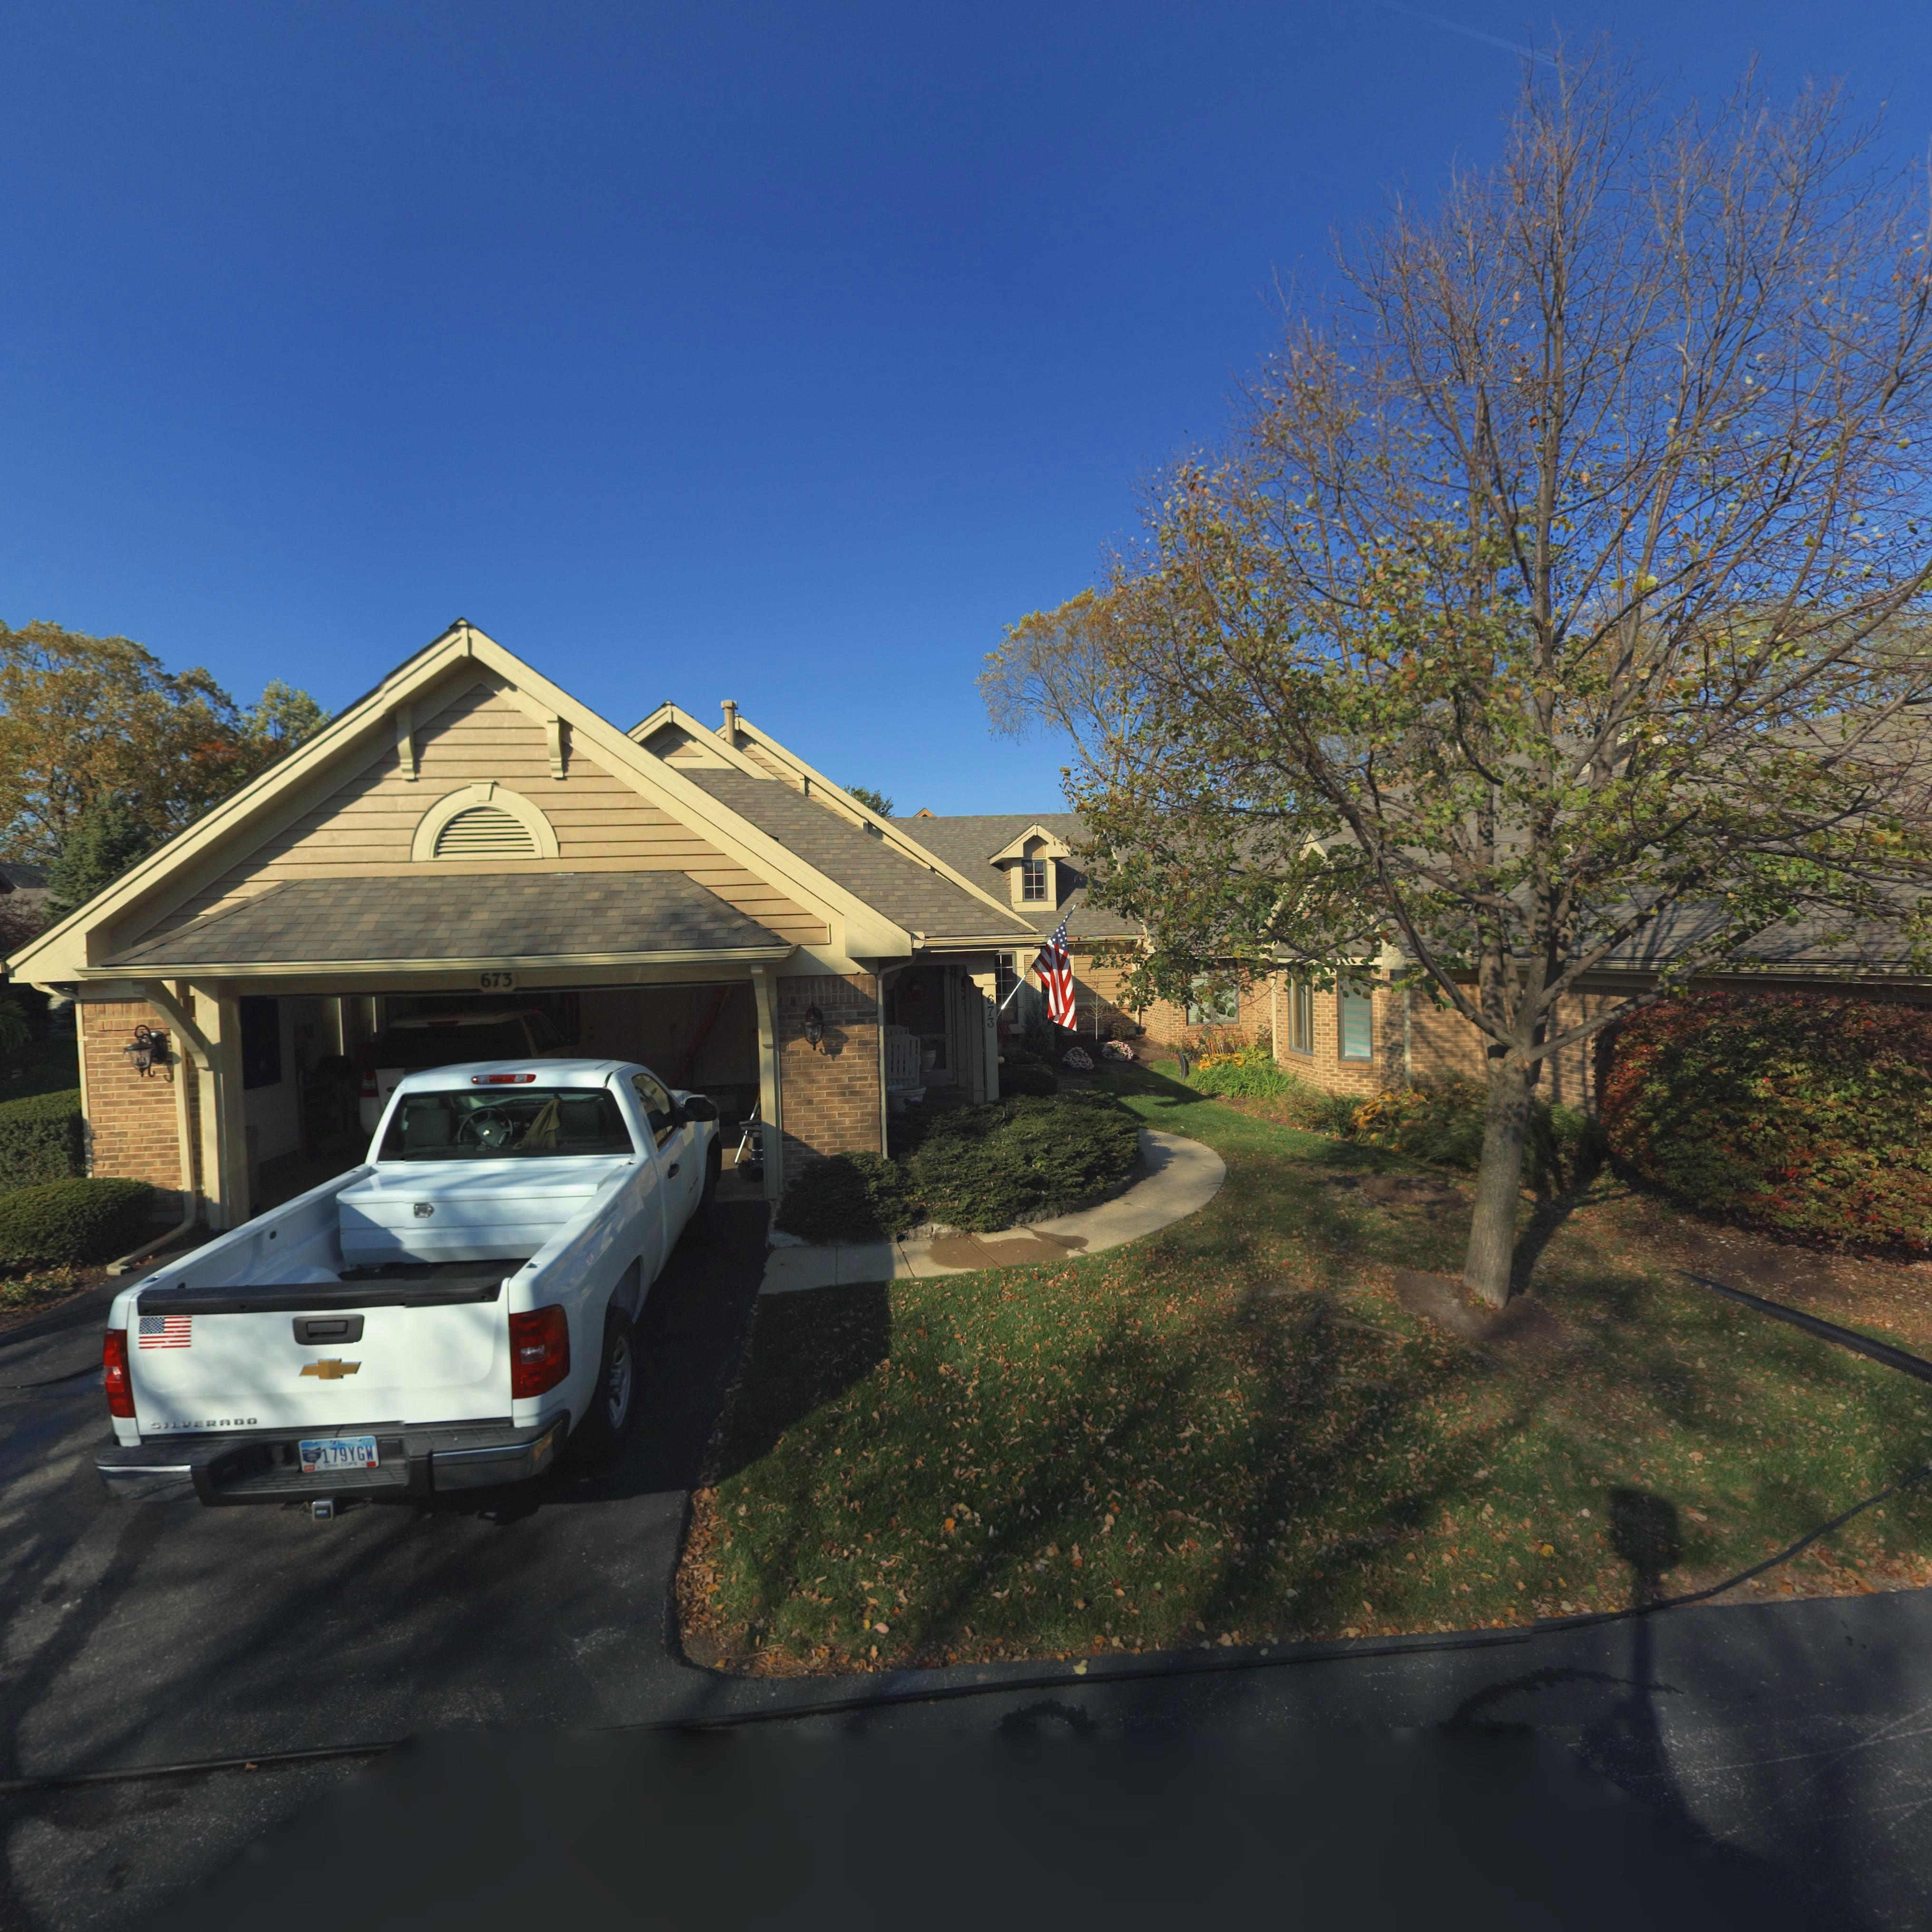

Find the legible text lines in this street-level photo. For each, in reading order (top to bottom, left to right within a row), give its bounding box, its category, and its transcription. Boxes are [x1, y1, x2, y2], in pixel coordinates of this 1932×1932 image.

[480, 971, 514, 989] StreetNumber: 673
[986, 994, 995, 1029] StreetNumber: 673